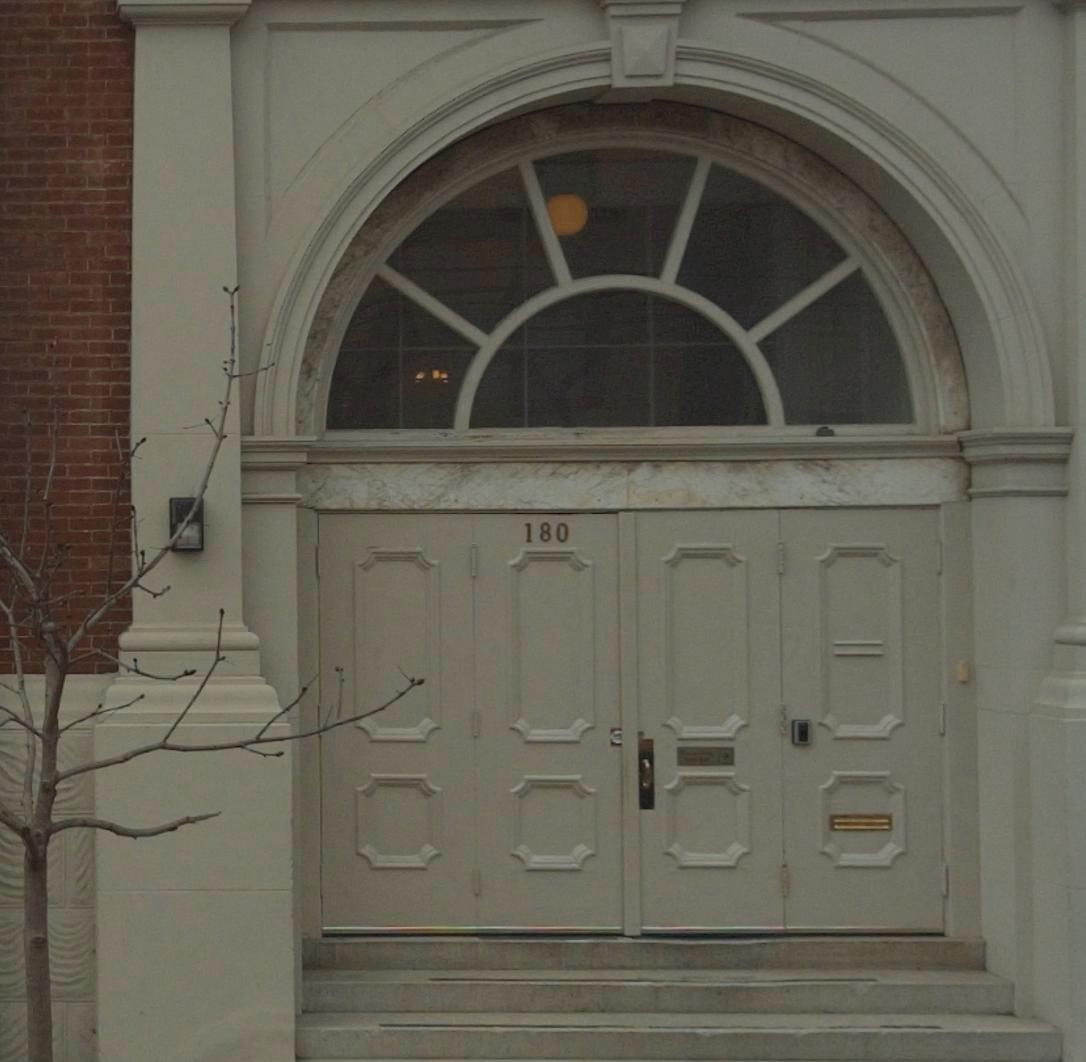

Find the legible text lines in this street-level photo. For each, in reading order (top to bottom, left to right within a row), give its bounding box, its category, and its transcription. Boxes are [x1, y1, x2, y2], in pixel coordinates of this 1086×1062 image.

[522, 520, 570, 545] StreetNumber: 180